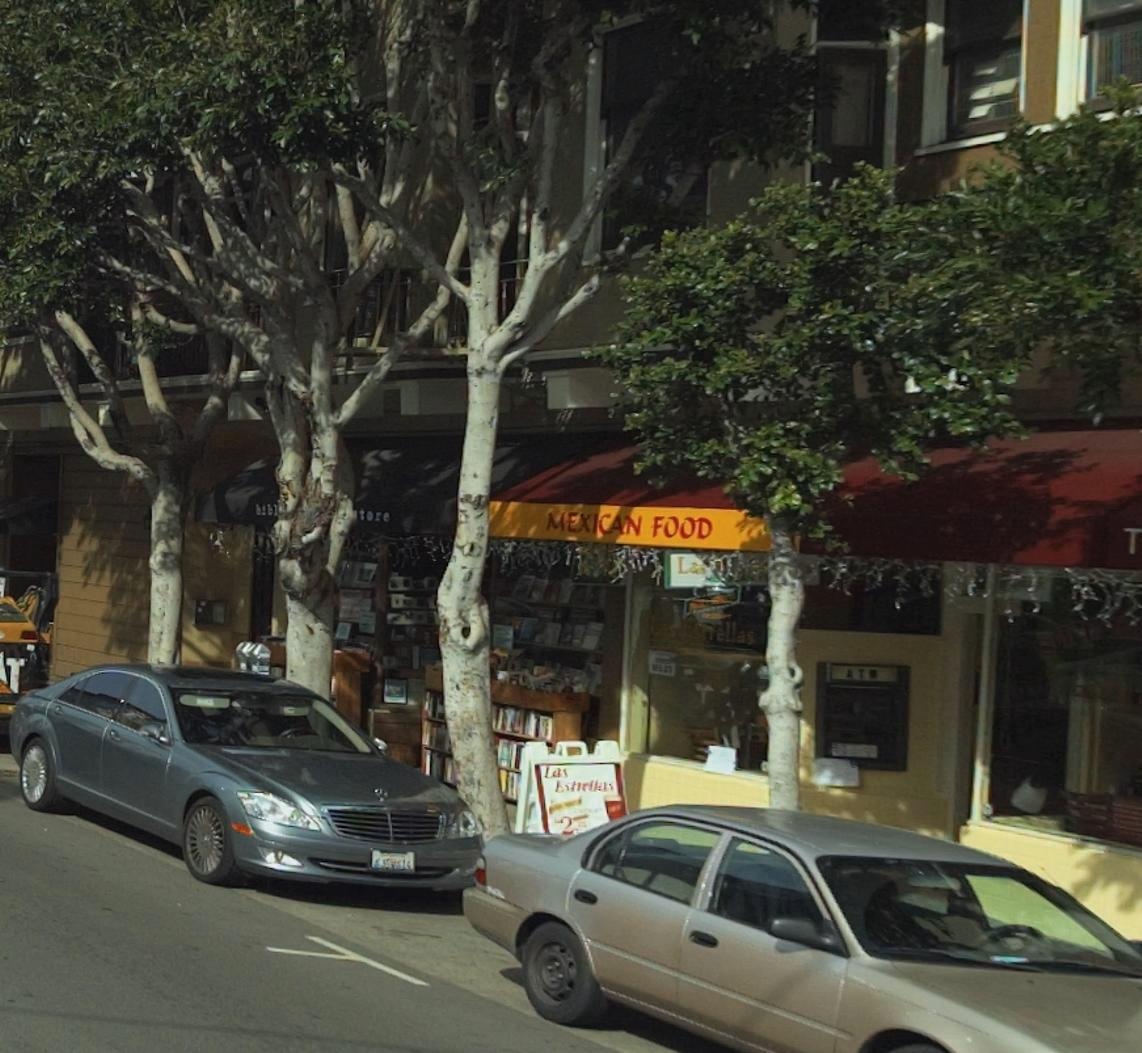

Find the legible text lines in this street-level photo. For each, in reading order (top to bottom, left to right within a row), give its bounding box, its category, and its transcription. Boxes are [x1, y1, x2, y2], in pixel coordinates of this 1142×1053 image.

[253, 501, 280, 519] BusinessName: bibl
[356, 505, 392, 525] BusinessName: tore
[543, 509, 716, 543] None: MEXICAN FOOD
[1121, 526, 1142, 556] BusinessName: T
[673, 554, 703, 578] BusinessName: La
[713, 617, 758, 648] BusinessName: ellas
[4, 656, 28, 694] None: T
[841, 665, 881, 682] None: AT*
[539, 761, 573, 782] BusinessName: Las
[551, 775, 618, 796] BusinessName: Est*ellas
[556, 812, 578, 838] None: 2